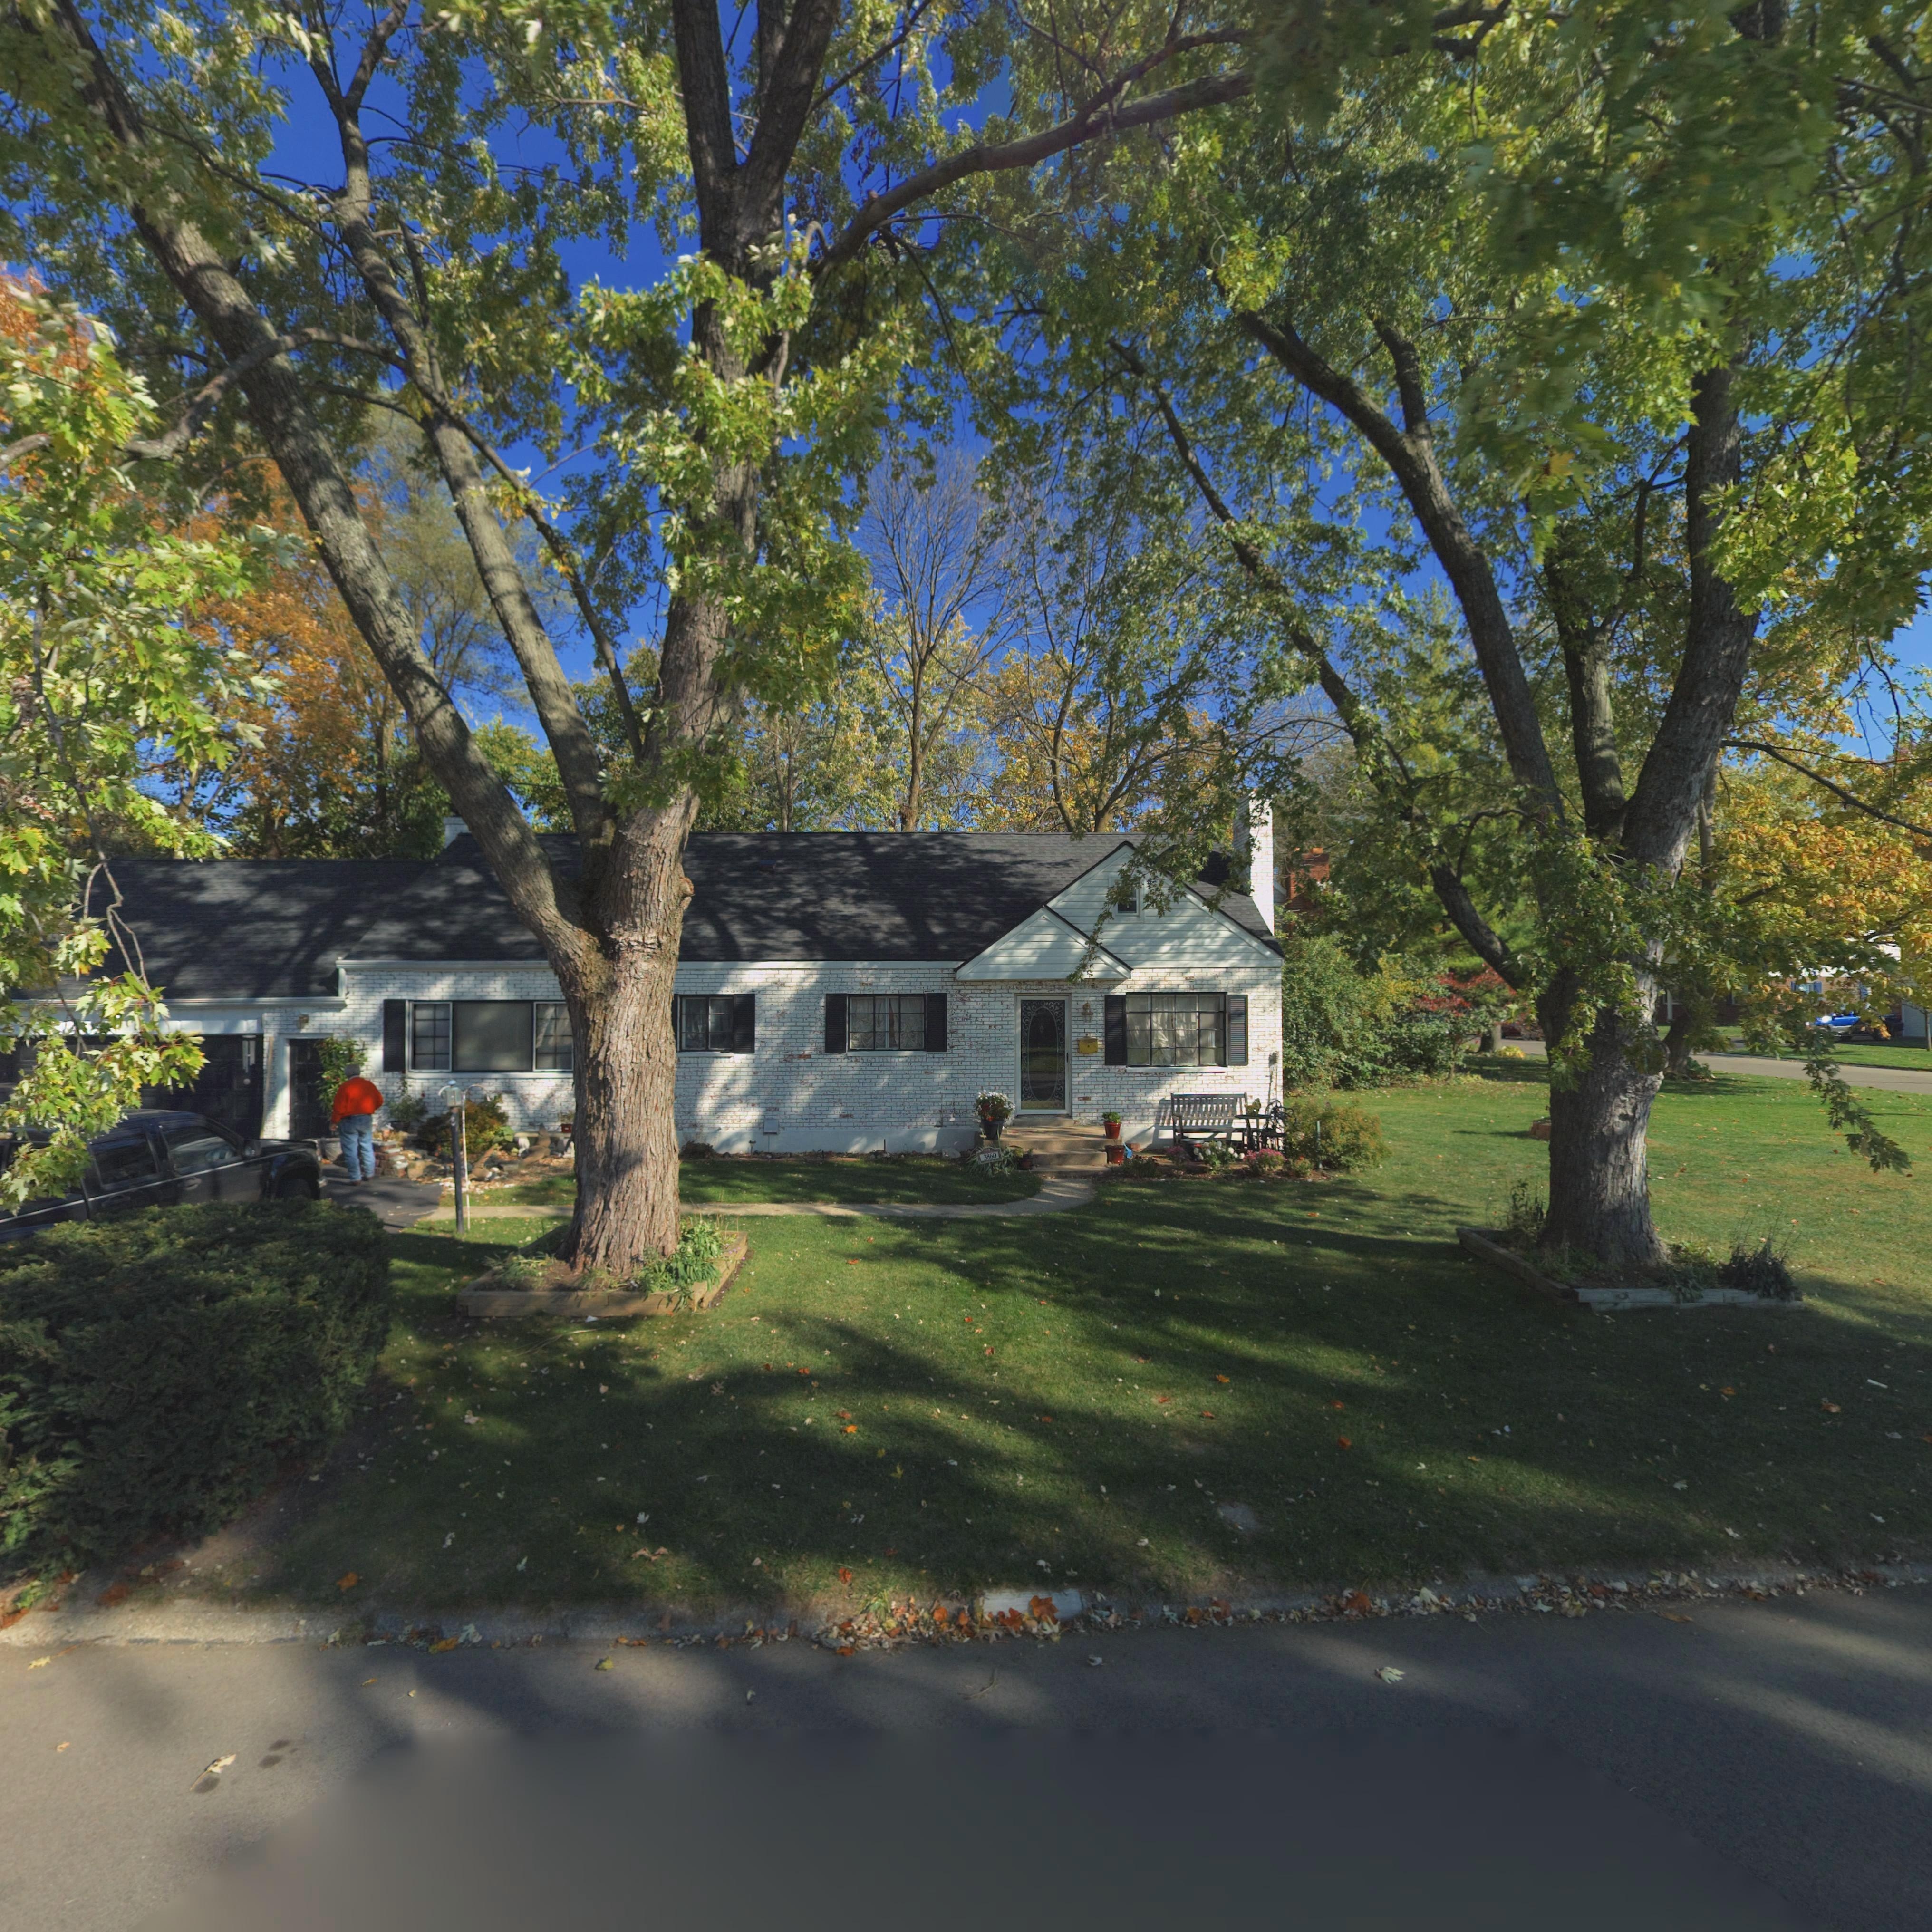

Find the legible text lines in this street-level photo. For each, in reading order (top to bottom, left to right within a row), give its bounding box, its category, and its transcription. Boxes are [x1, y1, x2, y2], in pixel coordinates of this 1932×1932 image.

[983, 1152, 997, 1162] StreetNumber: 3860